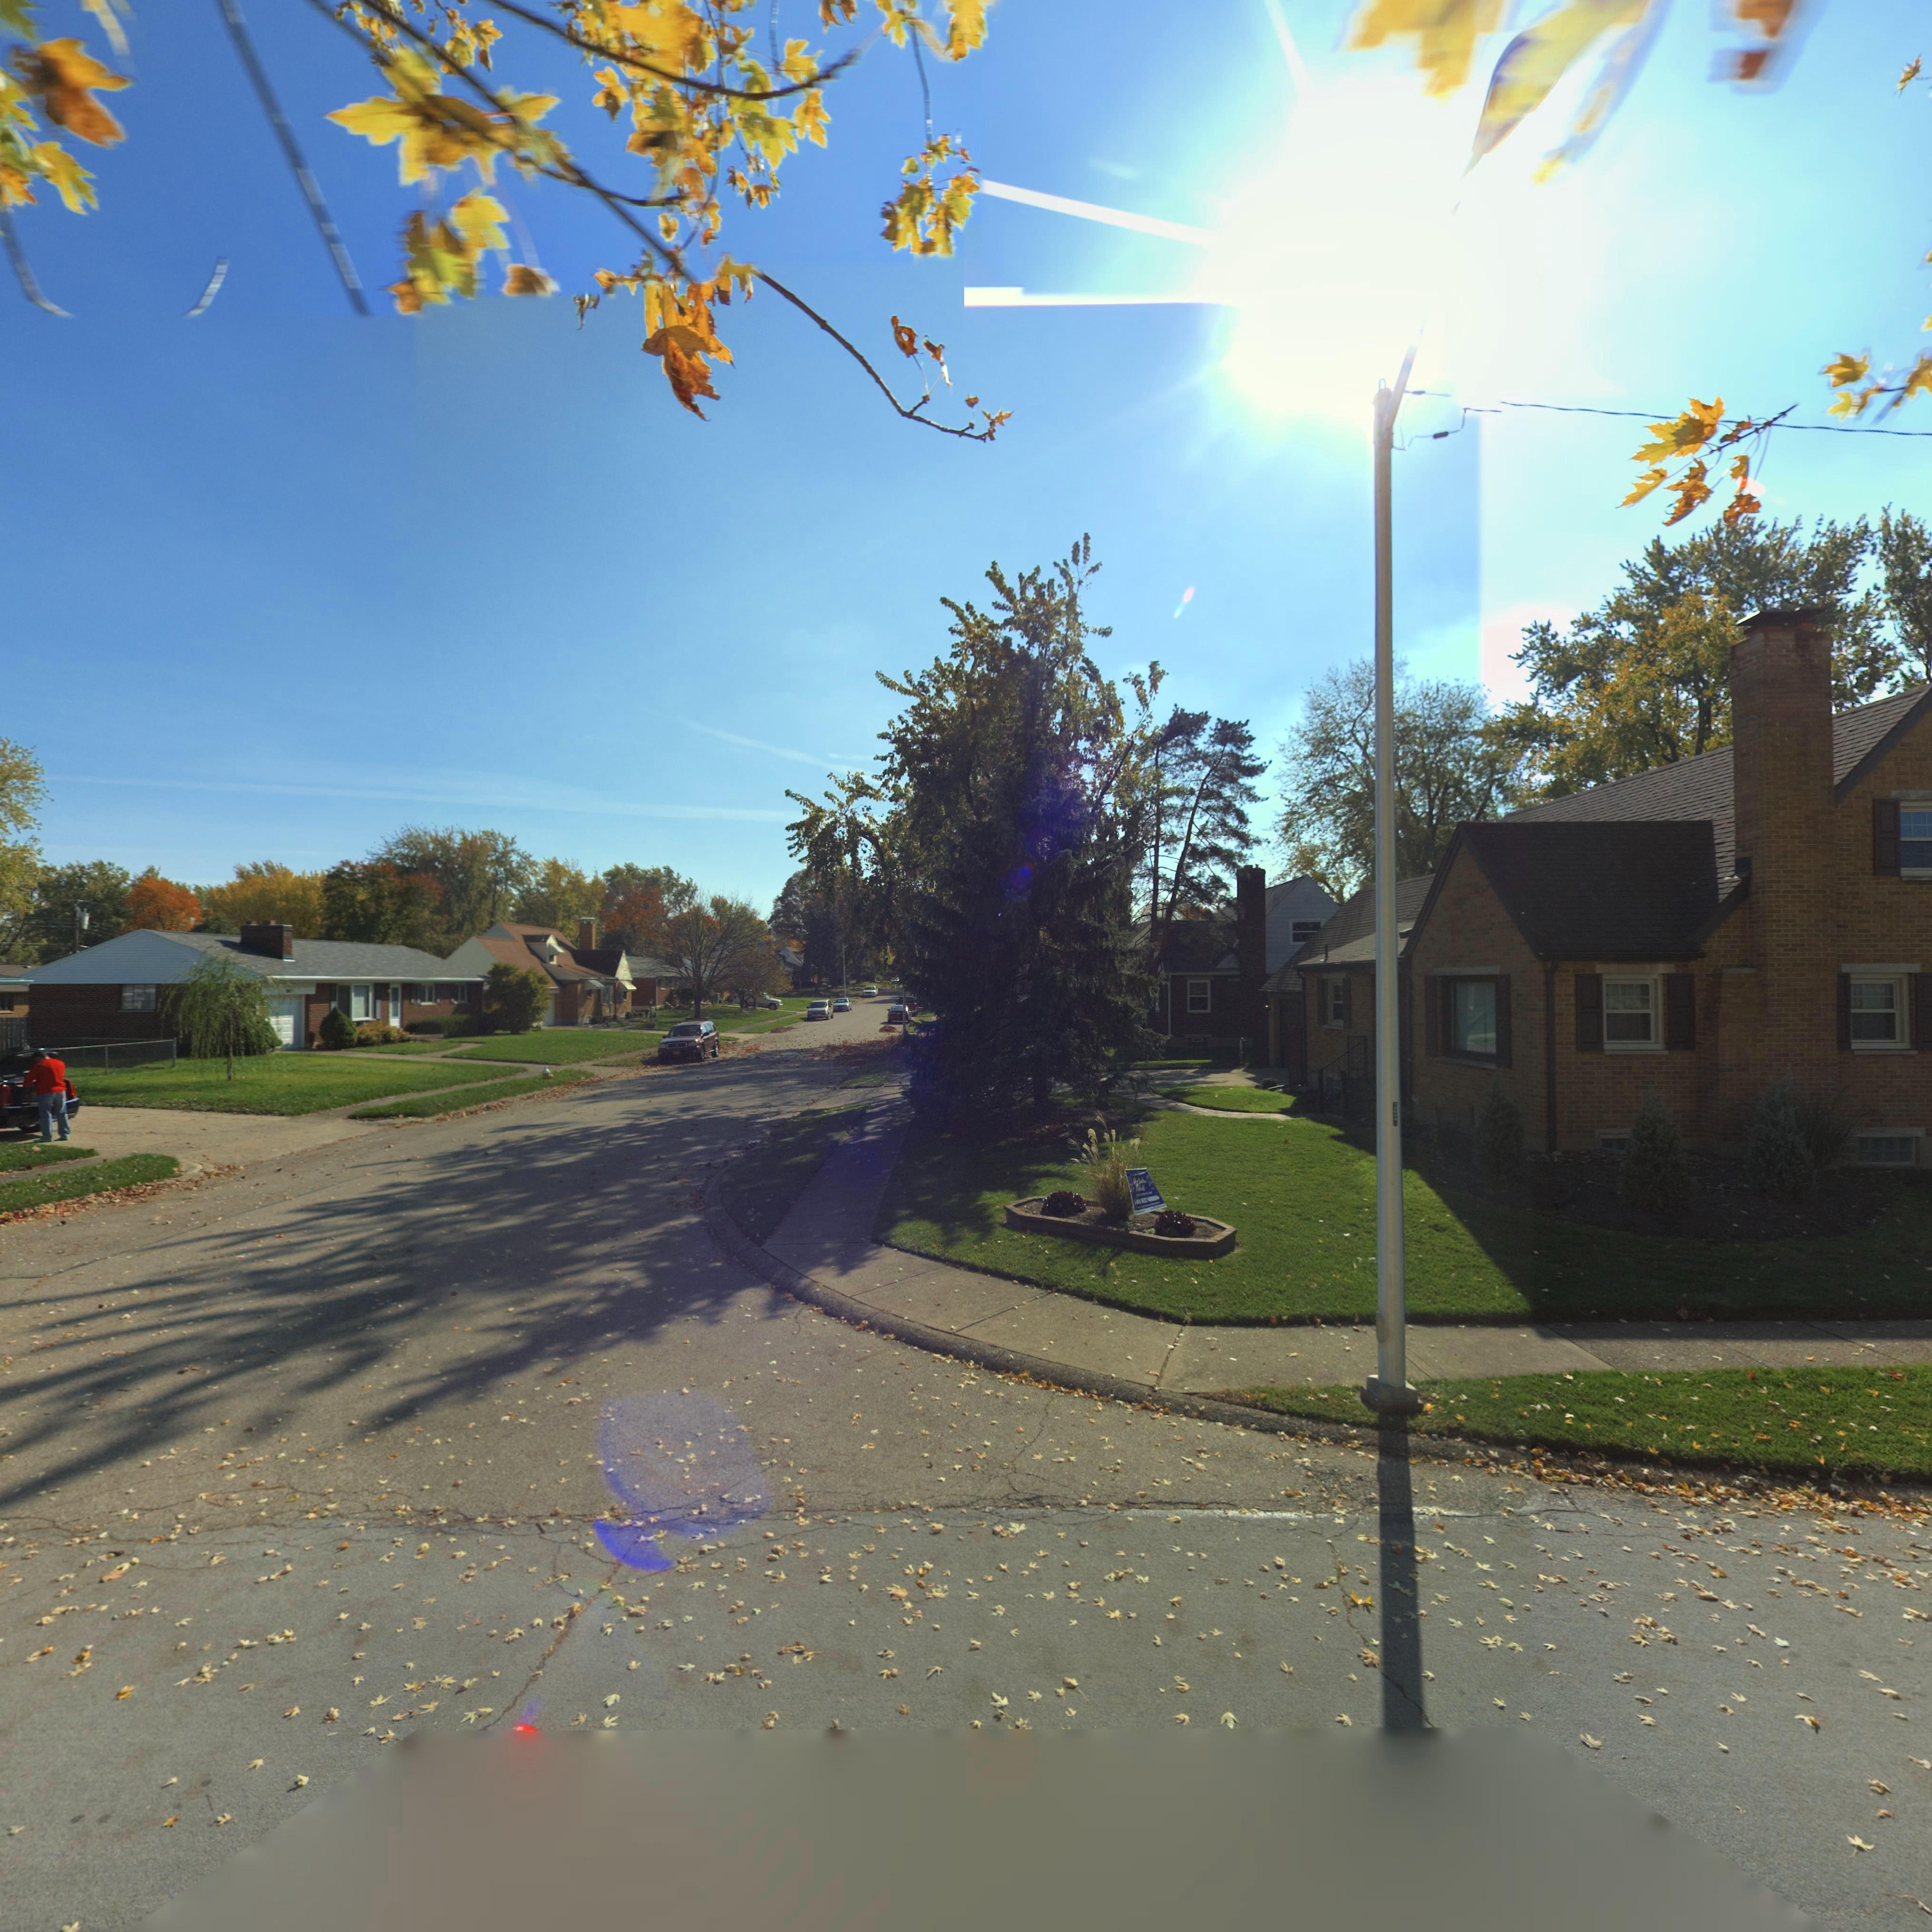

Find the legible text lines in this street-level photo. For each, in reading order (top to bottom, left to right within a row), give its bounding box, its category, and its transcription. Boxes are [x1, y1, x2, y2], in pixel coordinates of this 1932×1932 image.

[1393, 1102, 1397, 1121] None: 1****
[1133, 1177, 1141, 1192] None: W